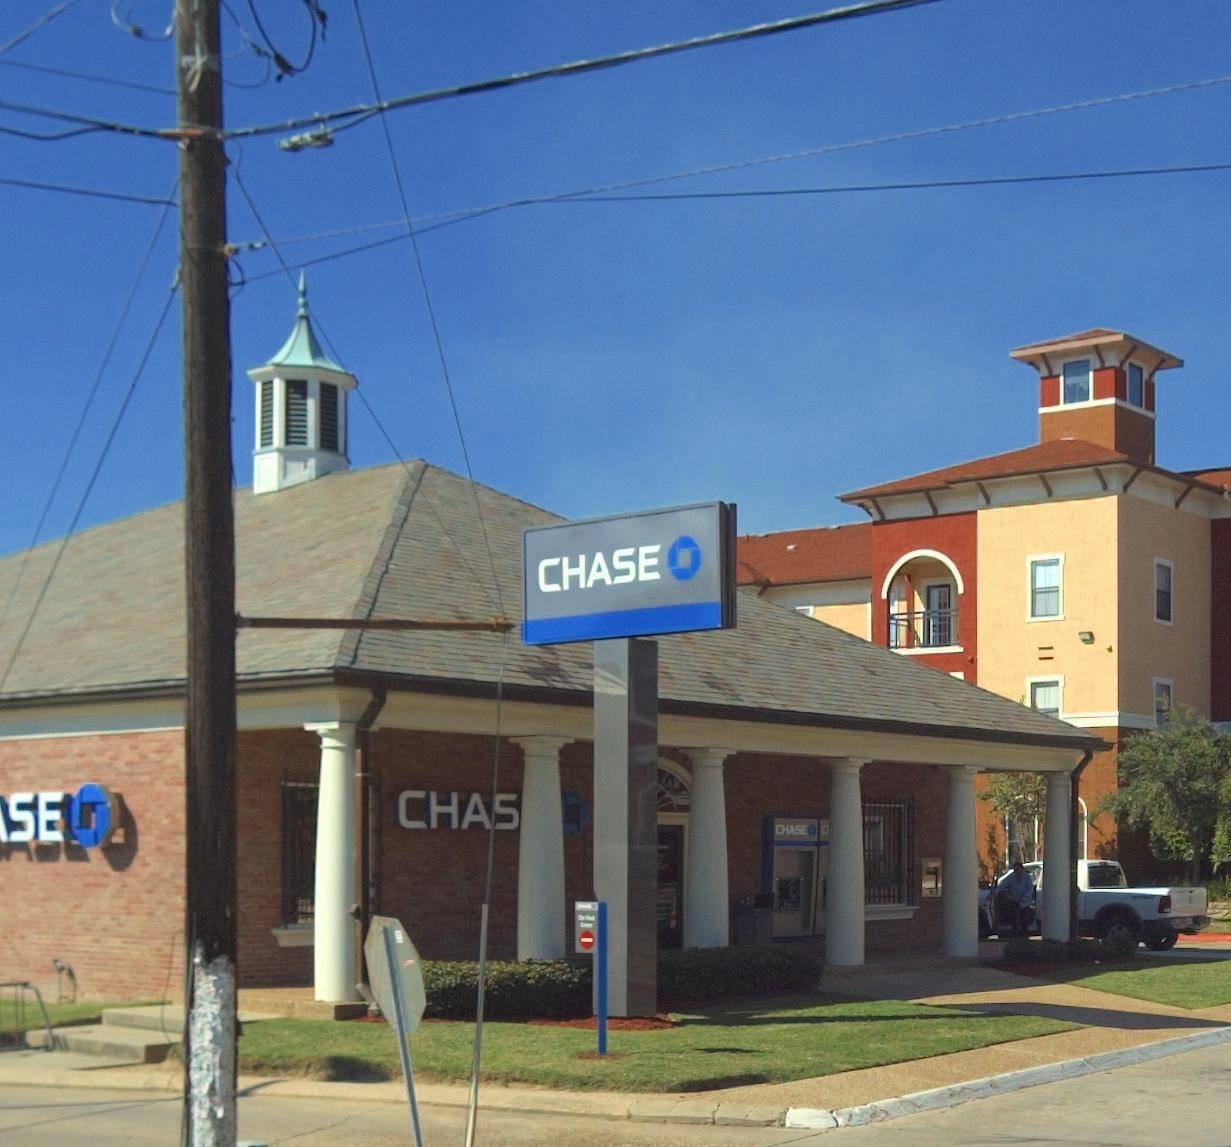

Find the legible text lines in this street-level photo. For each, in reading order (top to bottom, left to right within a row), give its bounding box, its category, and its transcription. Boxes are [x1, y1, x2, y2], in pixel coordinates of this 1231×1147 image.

[537, 543, 663, 594] BusinessName: CHASE
[8, 791, 65, 843] BusinessName: SE
[397, 788, 520, 832] BusinessName: CHAS
[774, 824, 809, 836] BusinessName: CHASE